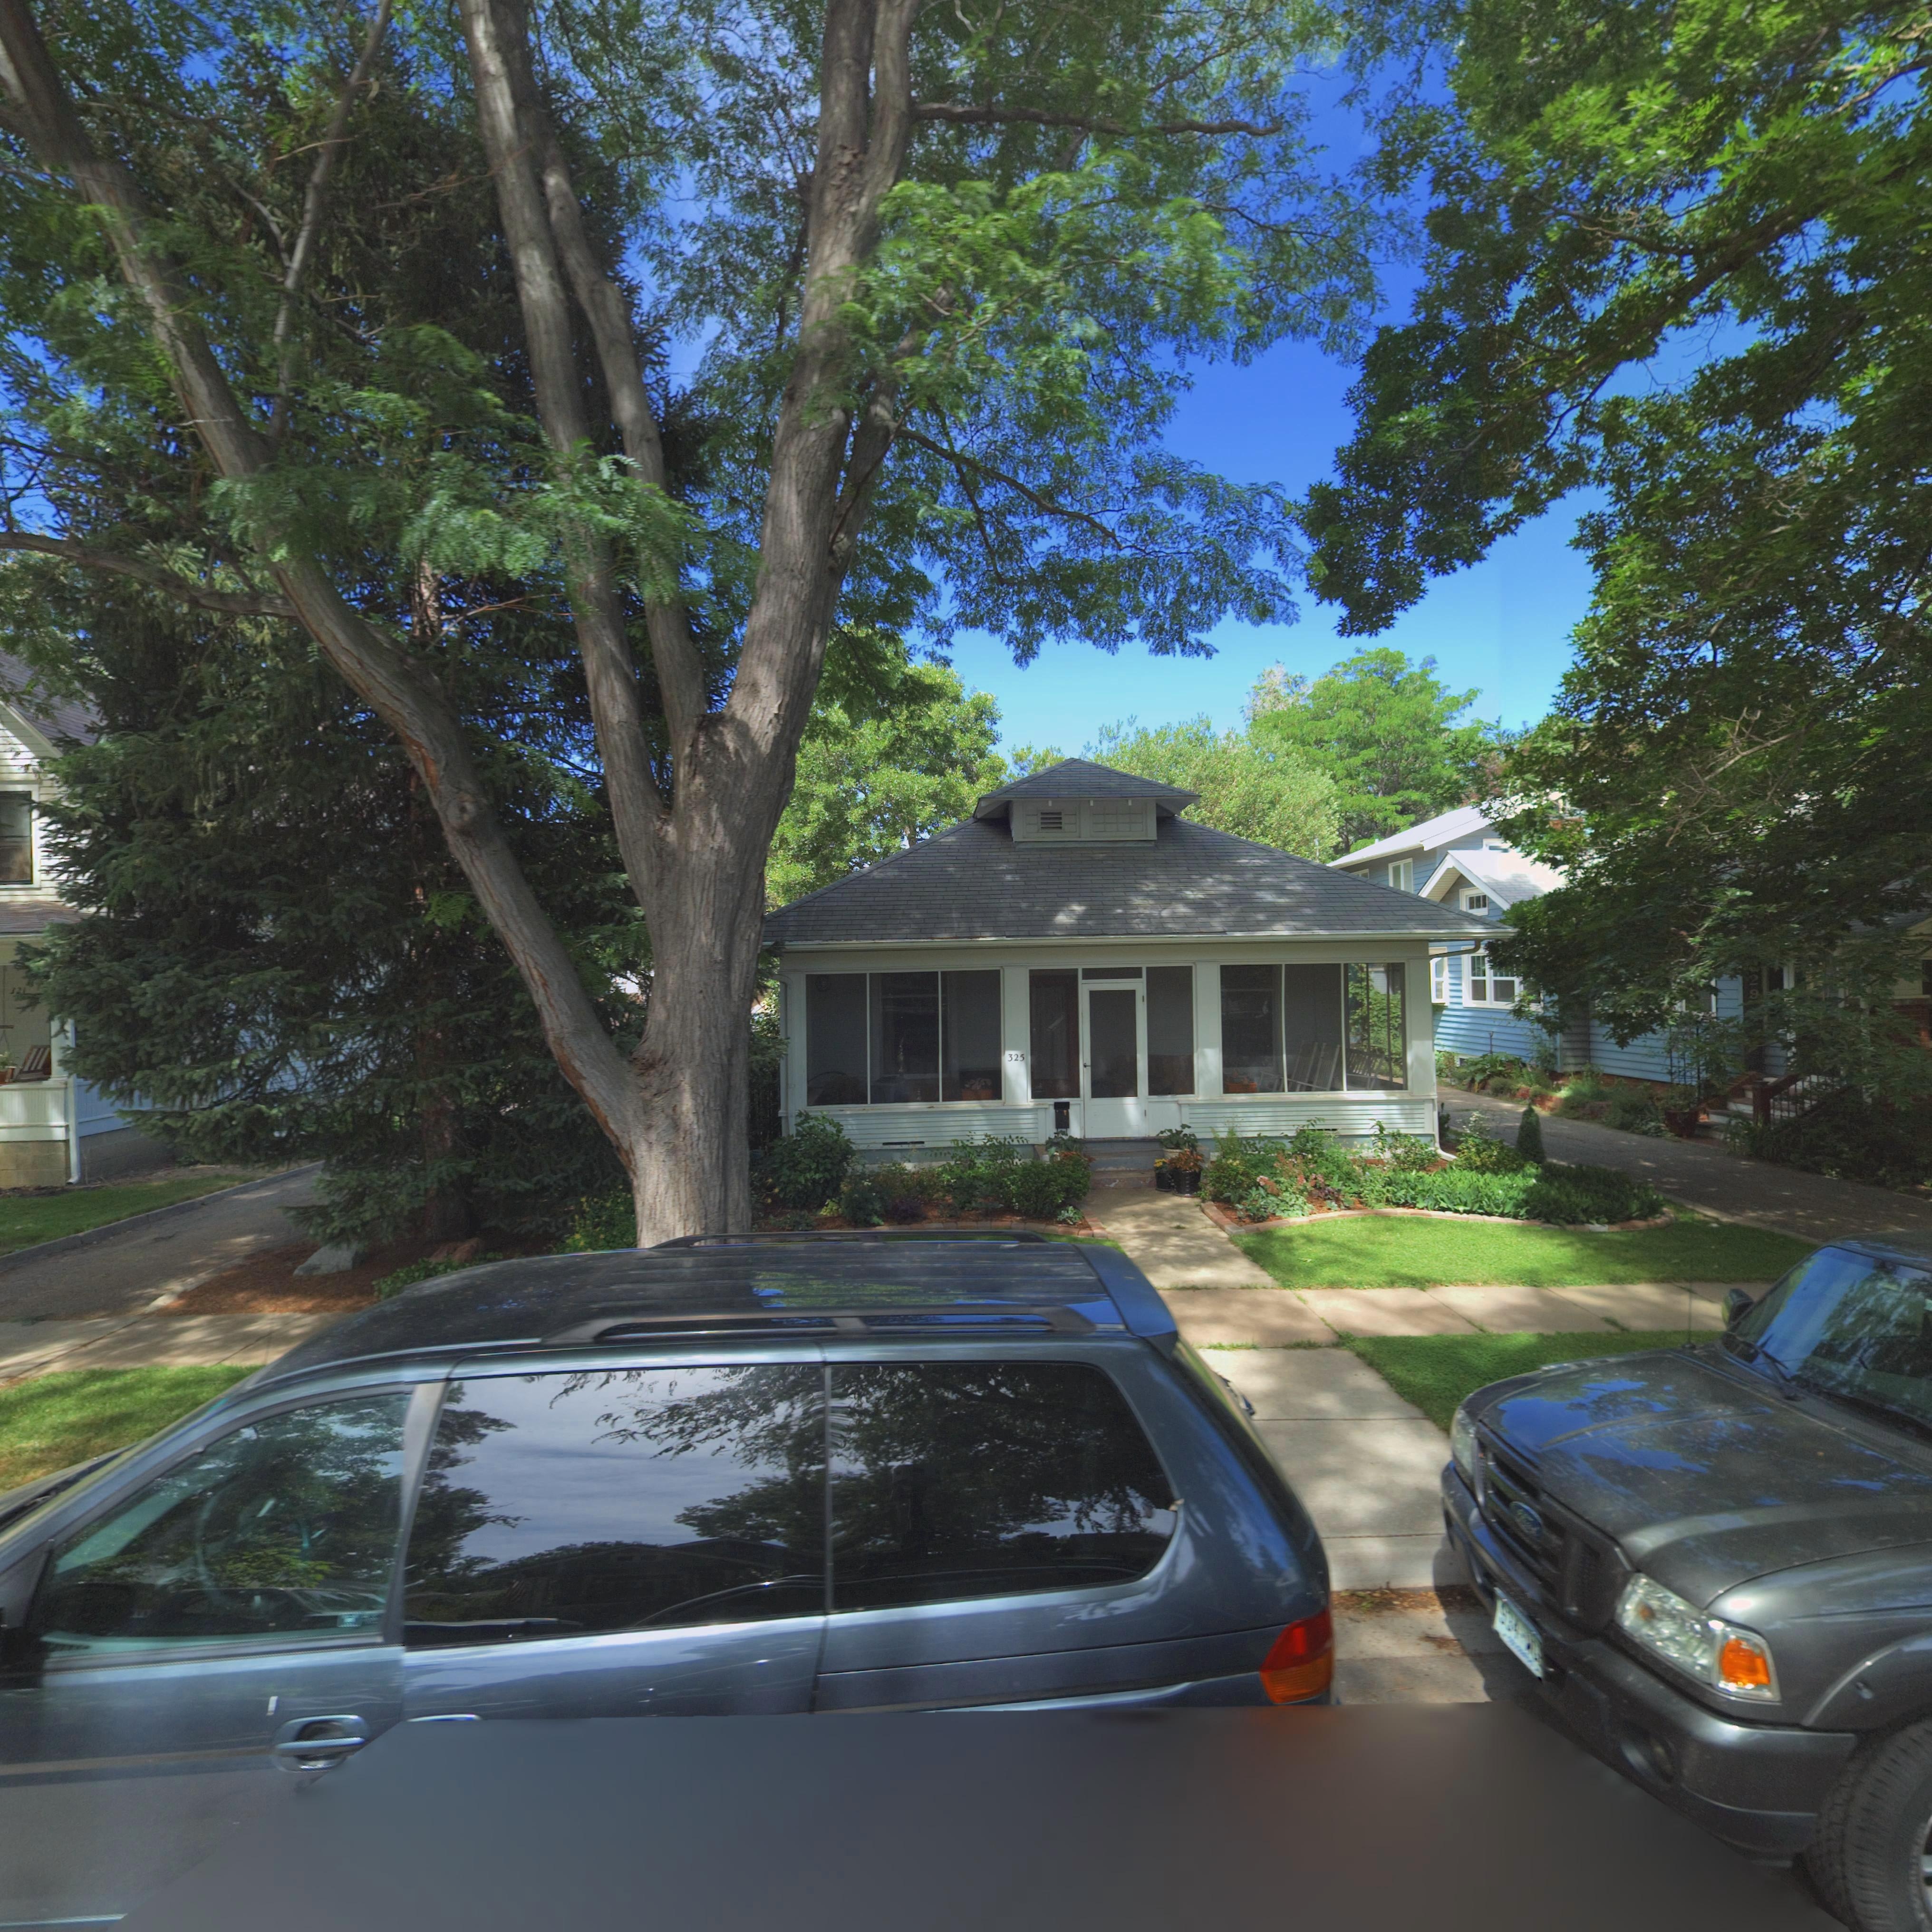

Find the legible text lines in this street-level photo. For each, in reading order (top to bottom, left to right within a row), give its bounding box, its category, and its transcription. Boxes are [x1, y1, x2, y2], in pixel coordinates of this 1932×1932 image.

[1747, 964, 1760, 1000] StreetNumber: *29
[9, 986, 26, 995] StreetNumber: 321
[1007, 1053, 1024, 1062] StreetNumber: 325